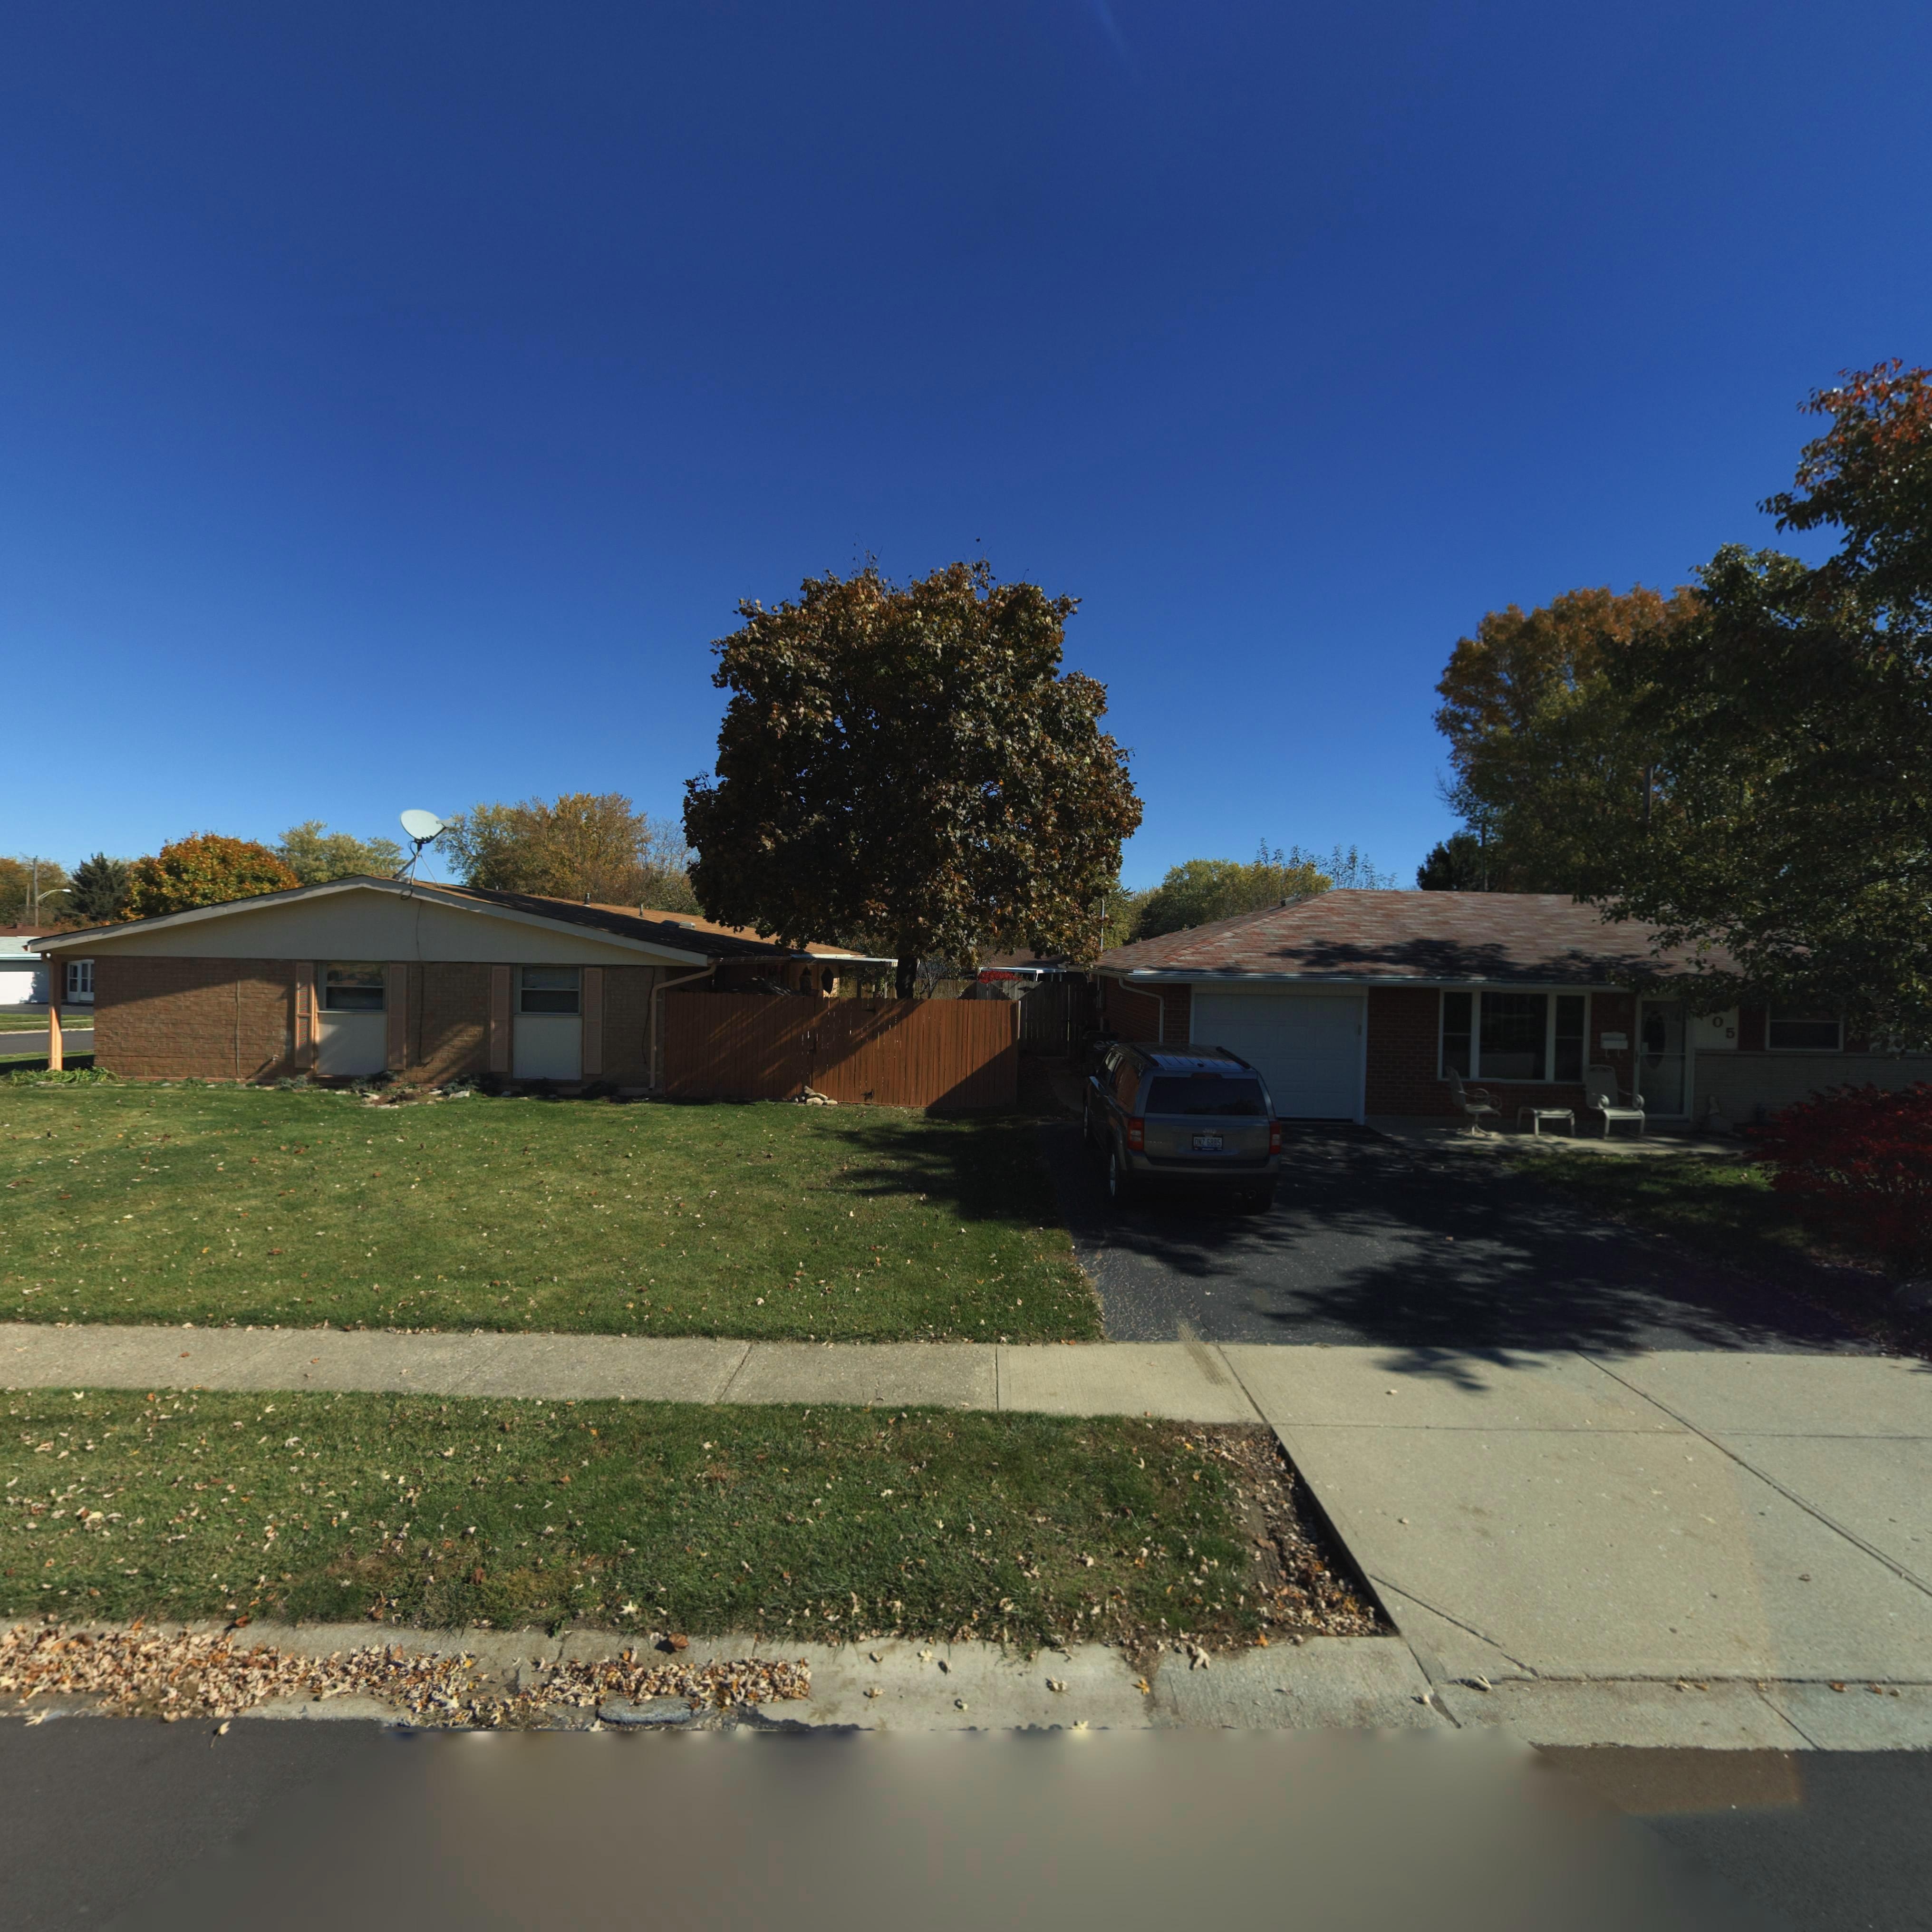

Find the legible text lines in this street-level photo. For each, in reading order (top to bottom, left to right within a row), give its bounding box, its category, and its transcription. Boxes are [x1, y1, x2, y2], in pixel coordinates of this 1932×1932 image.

[1712, 1015, 1735, 1039] StreetNumber: 05